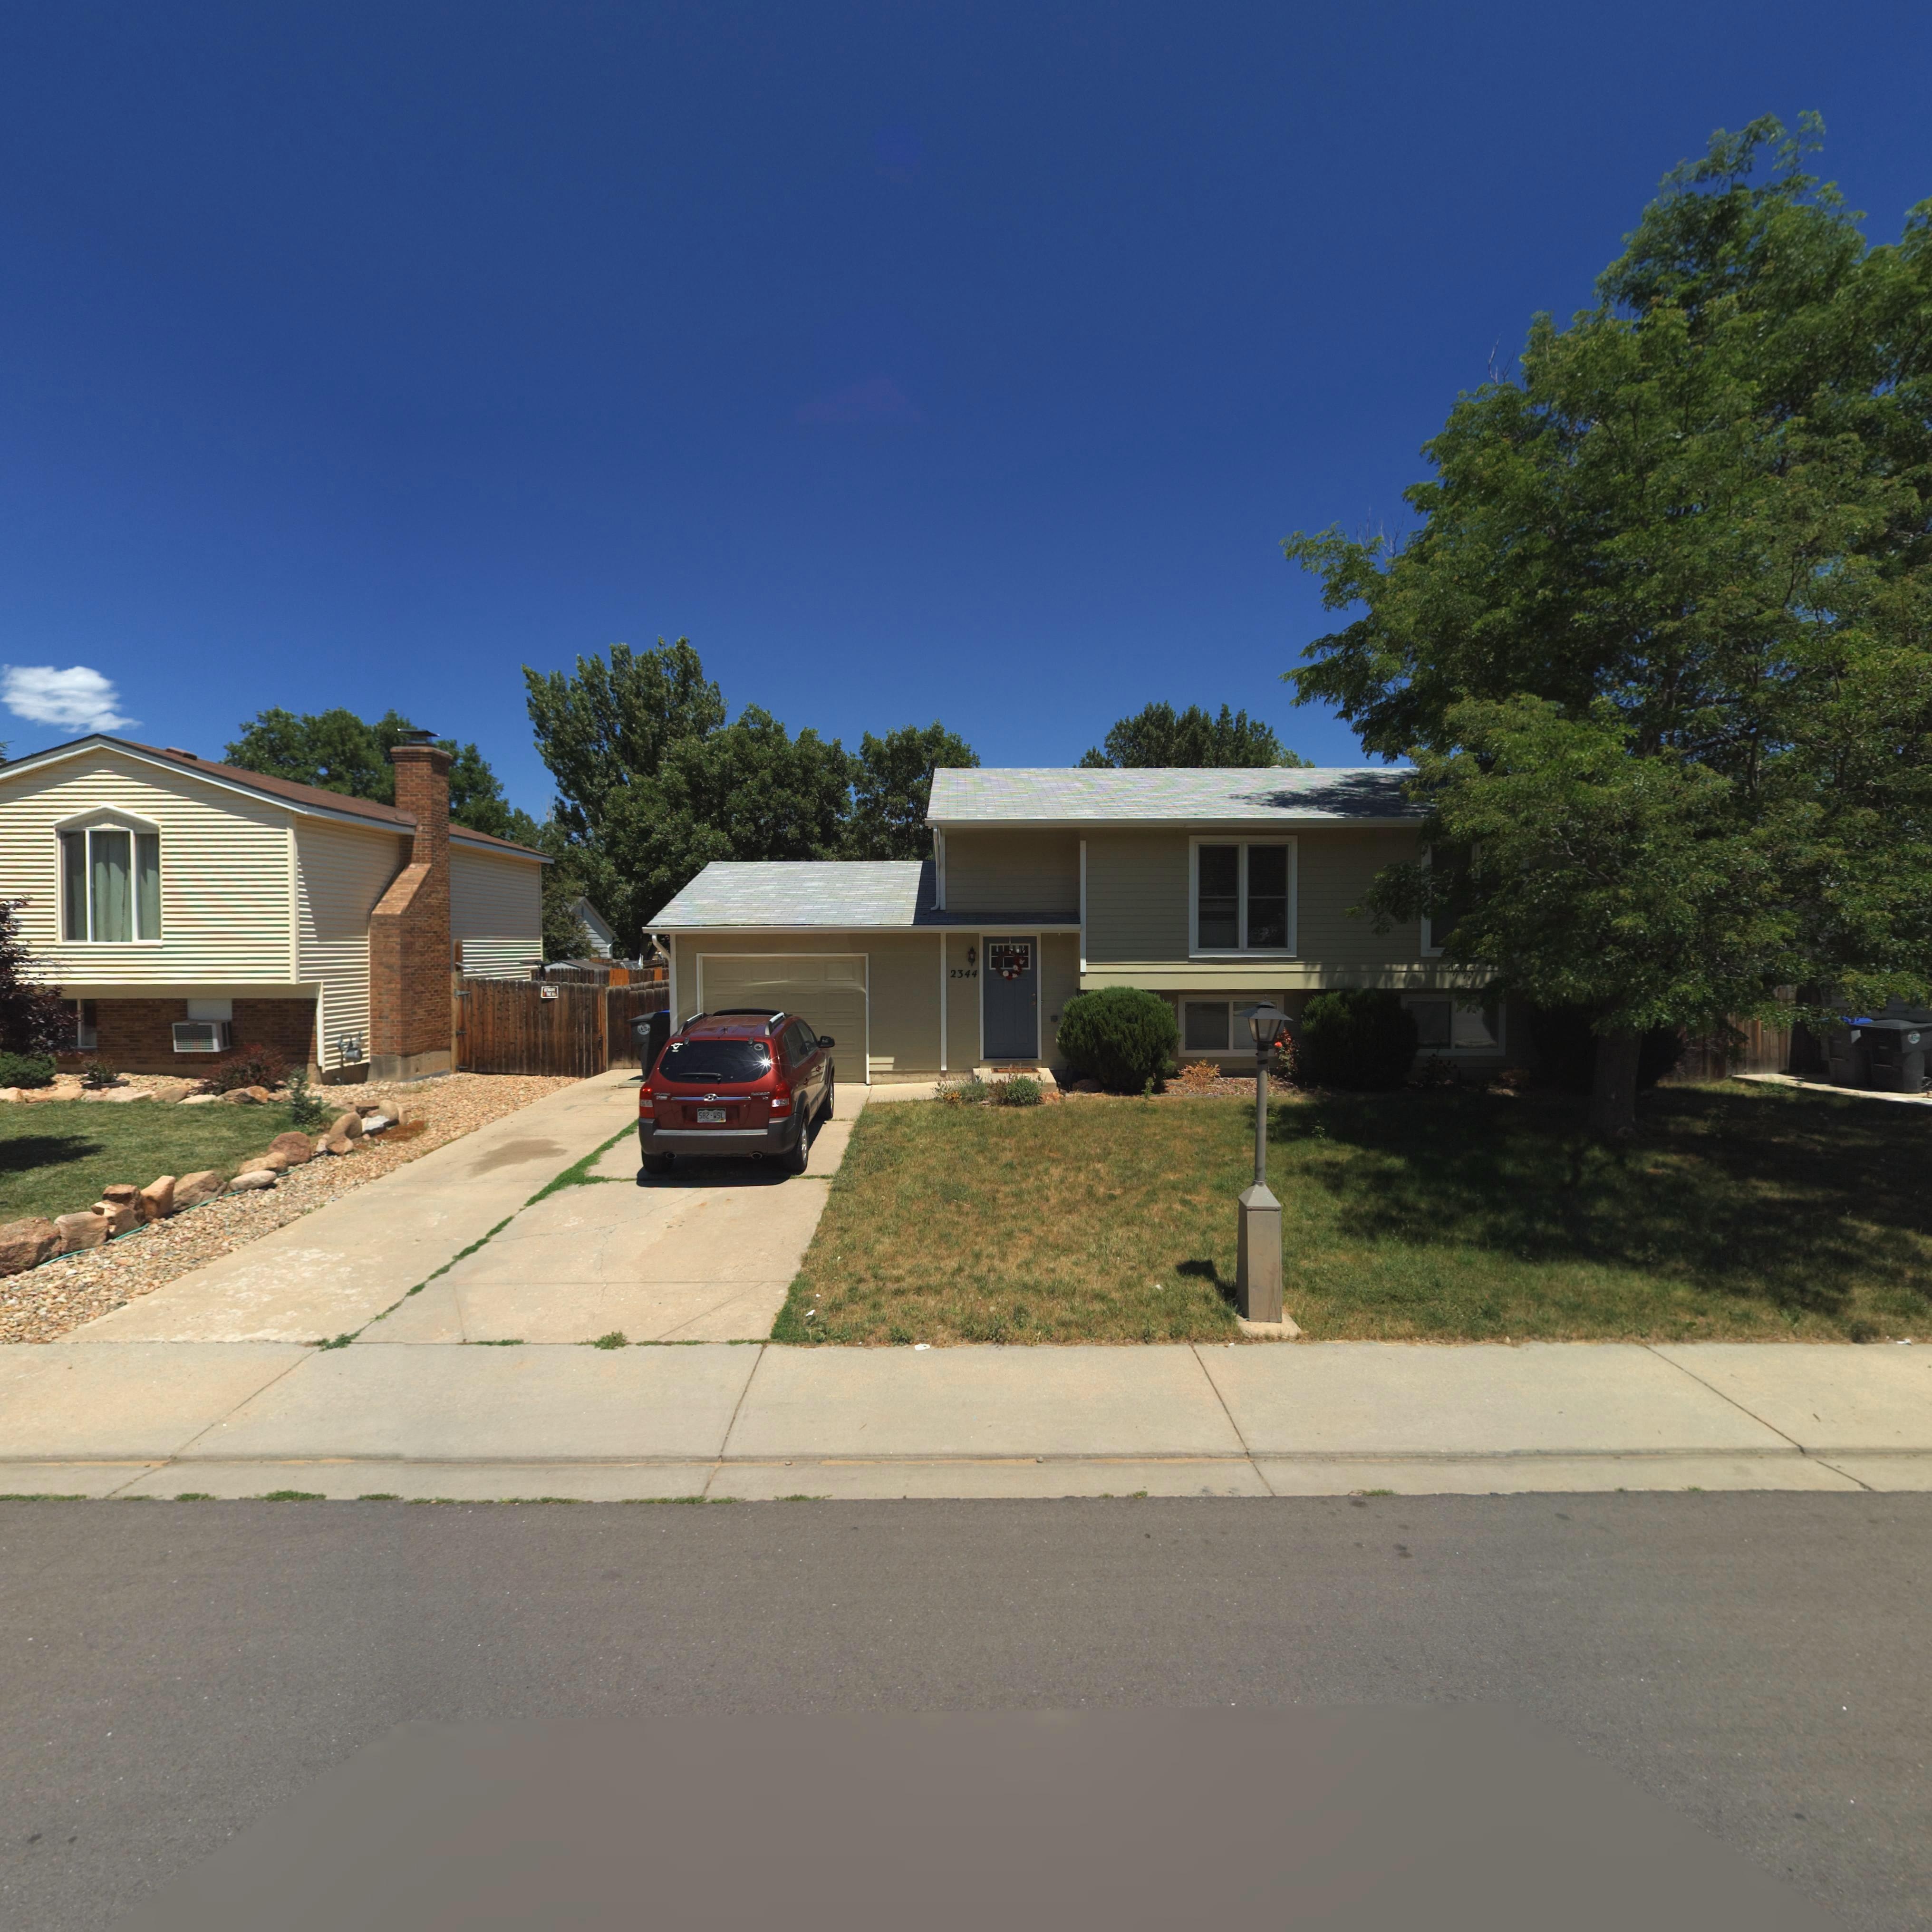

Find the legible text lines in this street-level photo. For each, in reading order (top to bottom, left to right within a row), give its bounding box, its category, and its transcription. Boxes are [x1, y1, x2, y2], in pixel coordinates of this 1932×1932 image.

[949, 968, 978, 978] StreetNumber: 2344